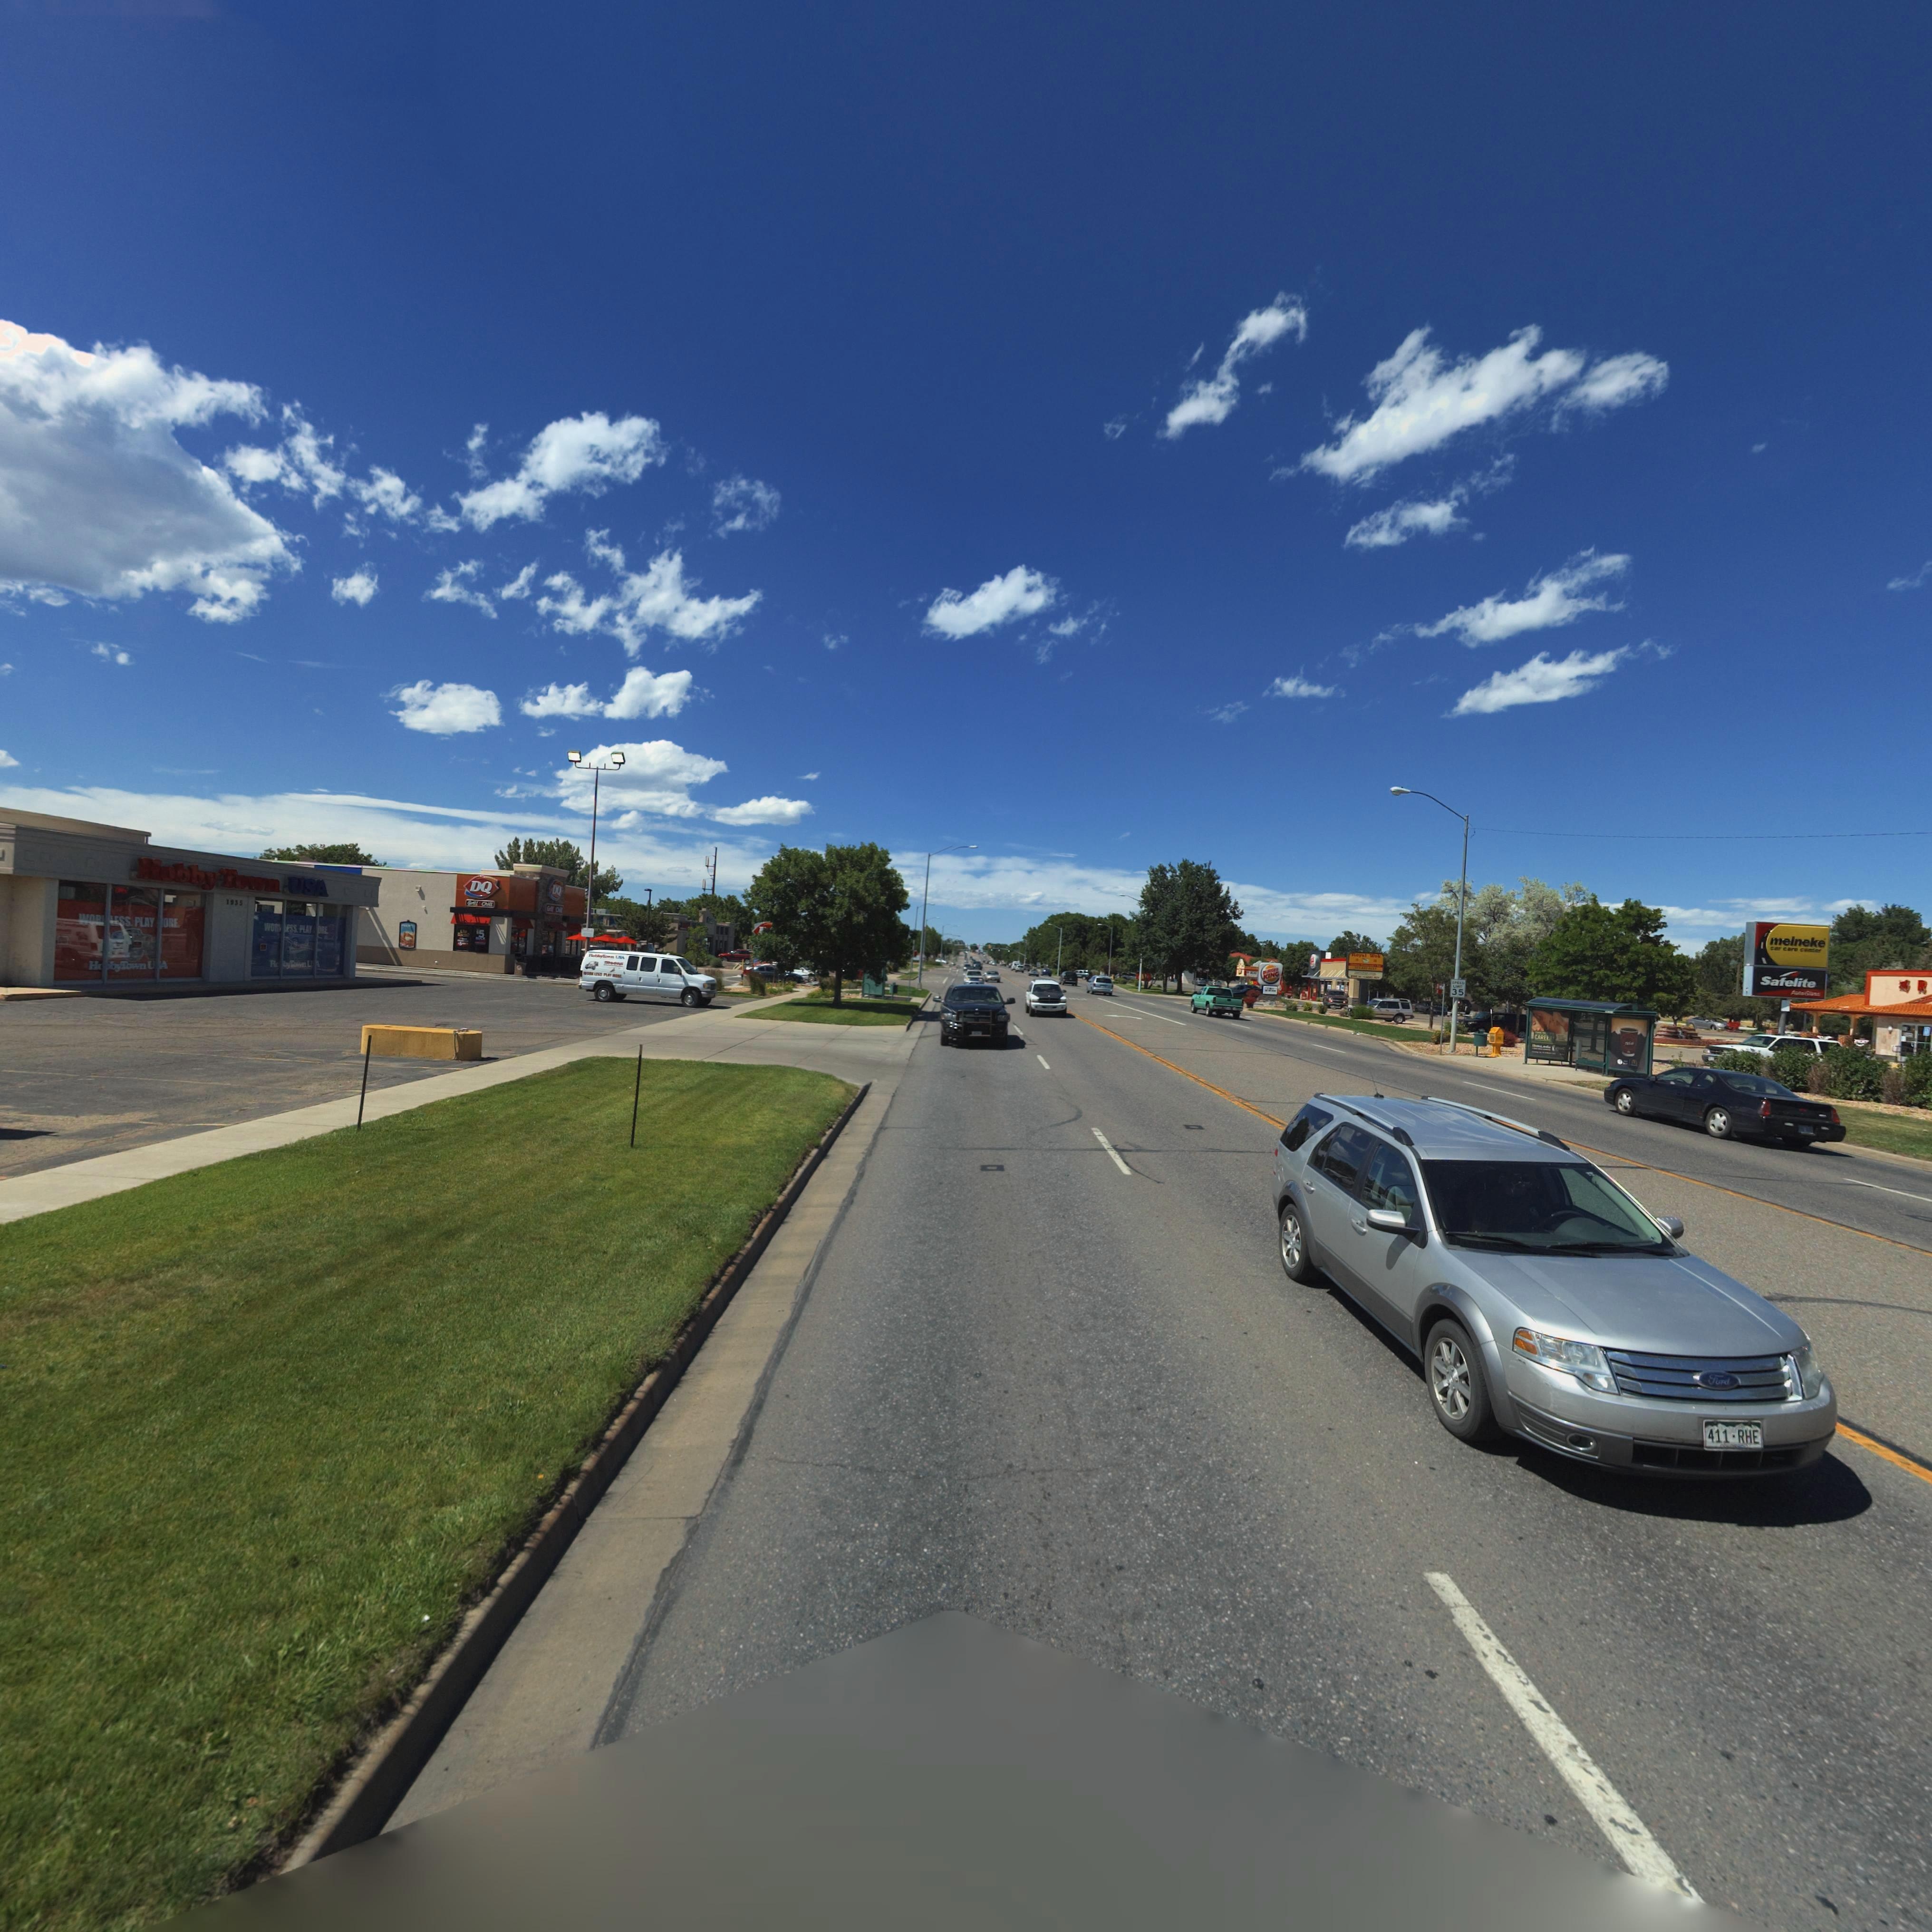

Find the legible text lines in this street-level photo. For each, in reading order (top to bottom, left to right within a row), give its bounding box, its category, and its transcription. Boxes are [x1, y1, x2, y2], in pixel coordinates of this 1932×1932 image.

[136, 857, 329, 898] BusinessName: HobbyTown USA
[469, 880, 493, 894] BusinessName: DQ
[551, 884, 561, 896] BusinessName: DQ
[226, 898, 243, 906] StreetNumber: 1935
[1769, 936, 1826, 948] BusinessName: meineke
[1351, 952, 1381, 958] BusinessName: Royal Wok
[1769, 946, 1822, 953] BusinessName: car care center
[87, 960, 168, 973] BusinessName: H**byTown U*A
[270, 959, 320, 969] BusinessName: H**byTown U*A
[1262, 967, 1278, 974] BusinessName: BURGER
[1263, 971, 1279, 980] BusinessName: KING
[1759, 975, 1816, 988] BusinessName: Safelite
[1917, 980, 1927, 991] BusinessName: R
[1790, 989, 1821, 996] BusinessName: AutoGlass